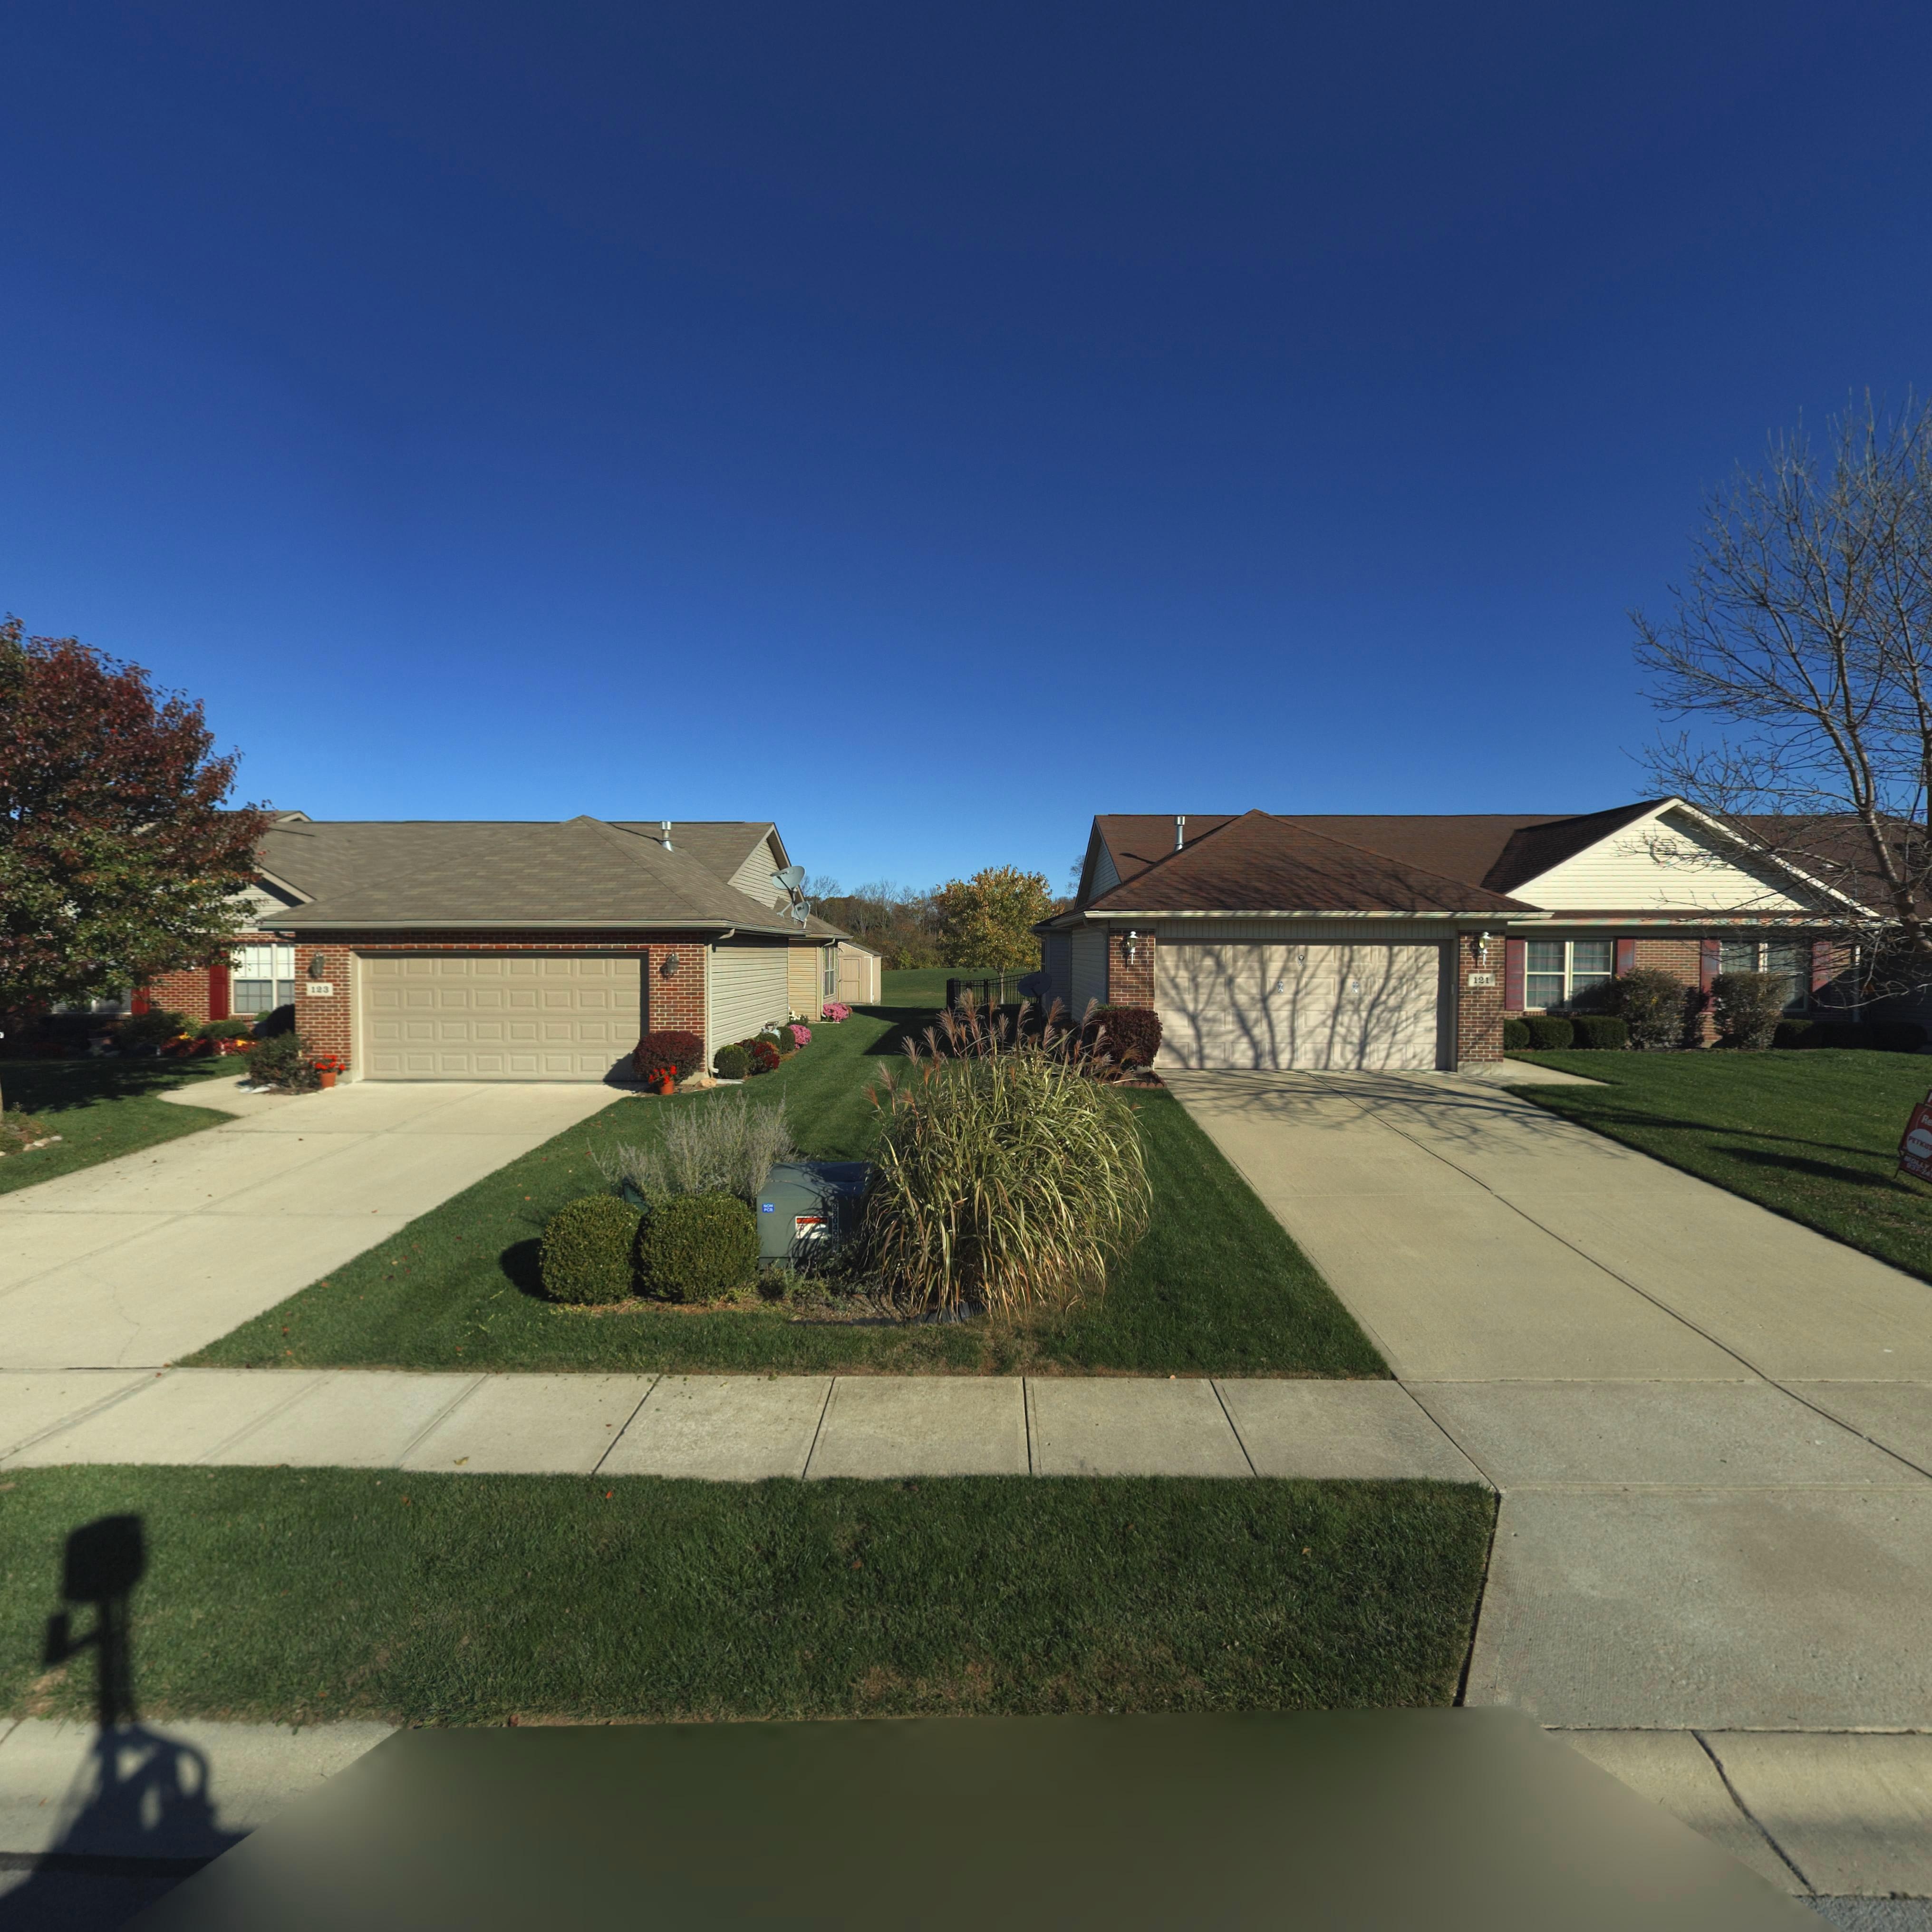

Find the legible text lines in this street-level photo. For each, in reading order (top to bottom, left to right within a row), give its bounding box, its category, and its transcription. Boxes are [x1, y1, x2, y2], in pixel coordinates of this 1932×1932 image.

[1473, 976, 1490, 985] StreetNumber: 121
[310, 985, 329, 994] StreetNumber: 123